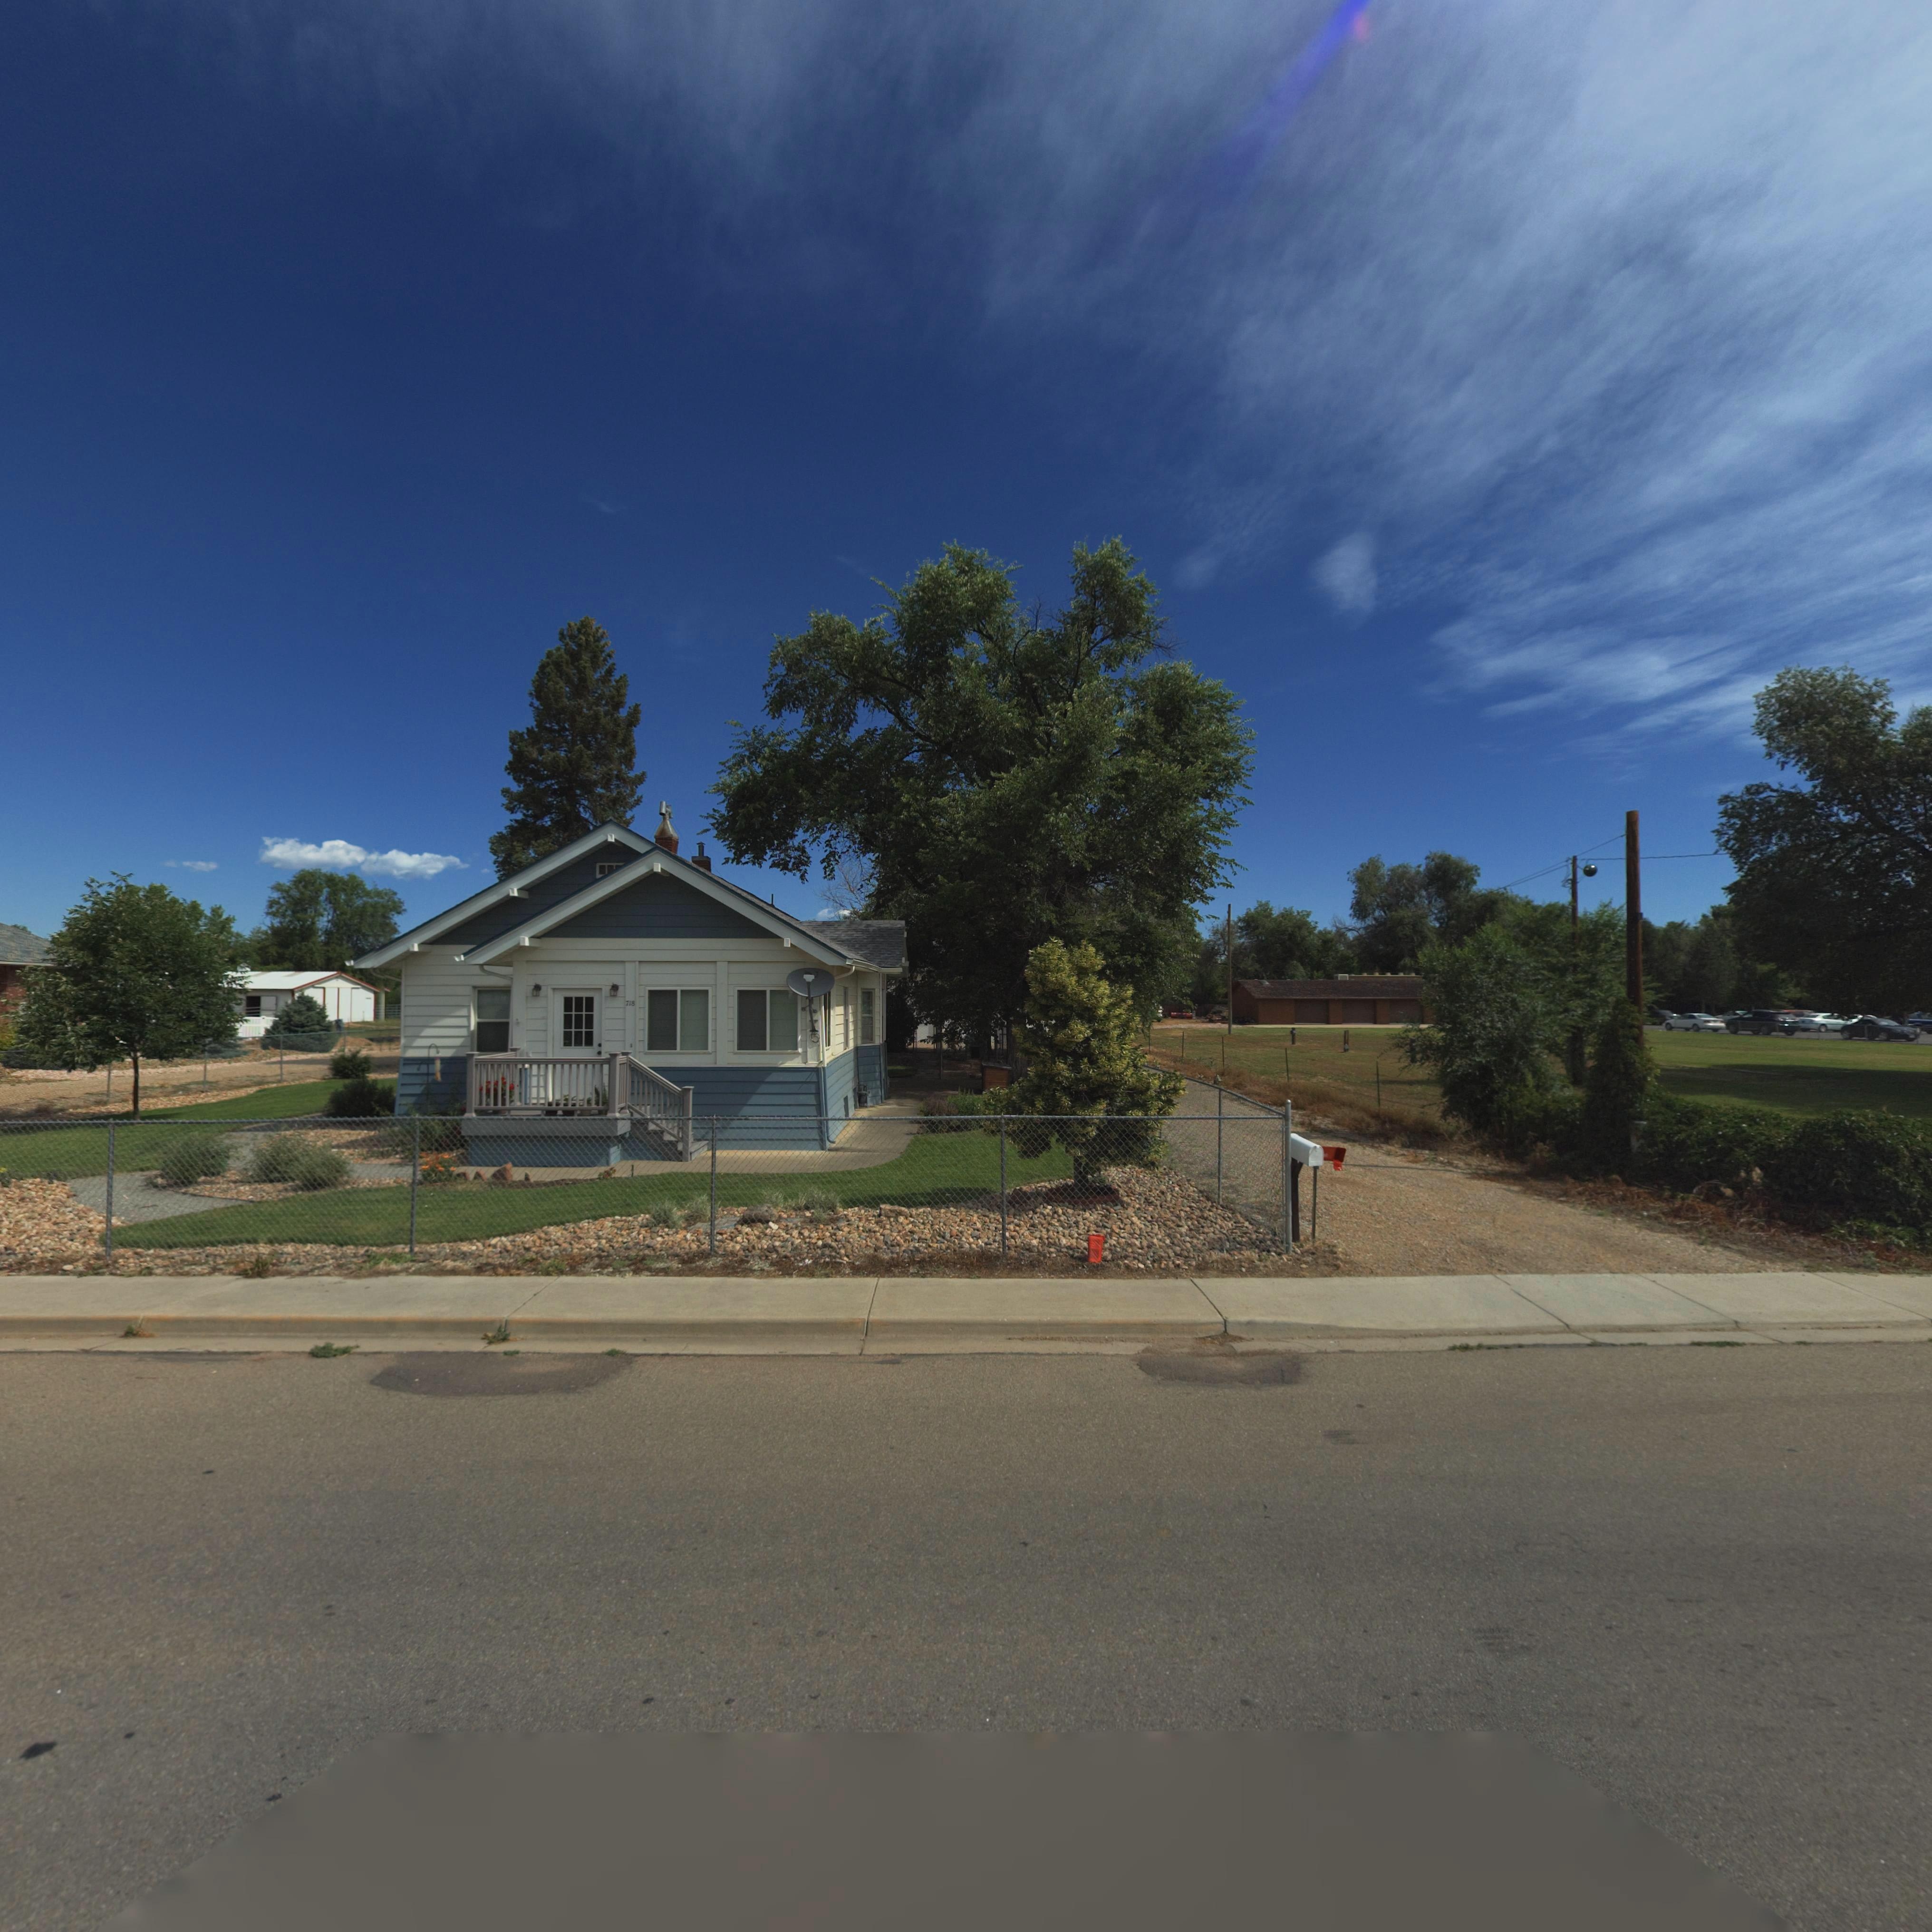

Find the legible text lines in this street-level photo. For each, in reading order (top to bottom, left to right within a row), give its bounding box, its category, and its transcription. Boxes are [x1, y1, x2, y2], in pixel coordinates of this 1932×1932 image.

[625, 1000, 635, 1006] StreetNumber: 718